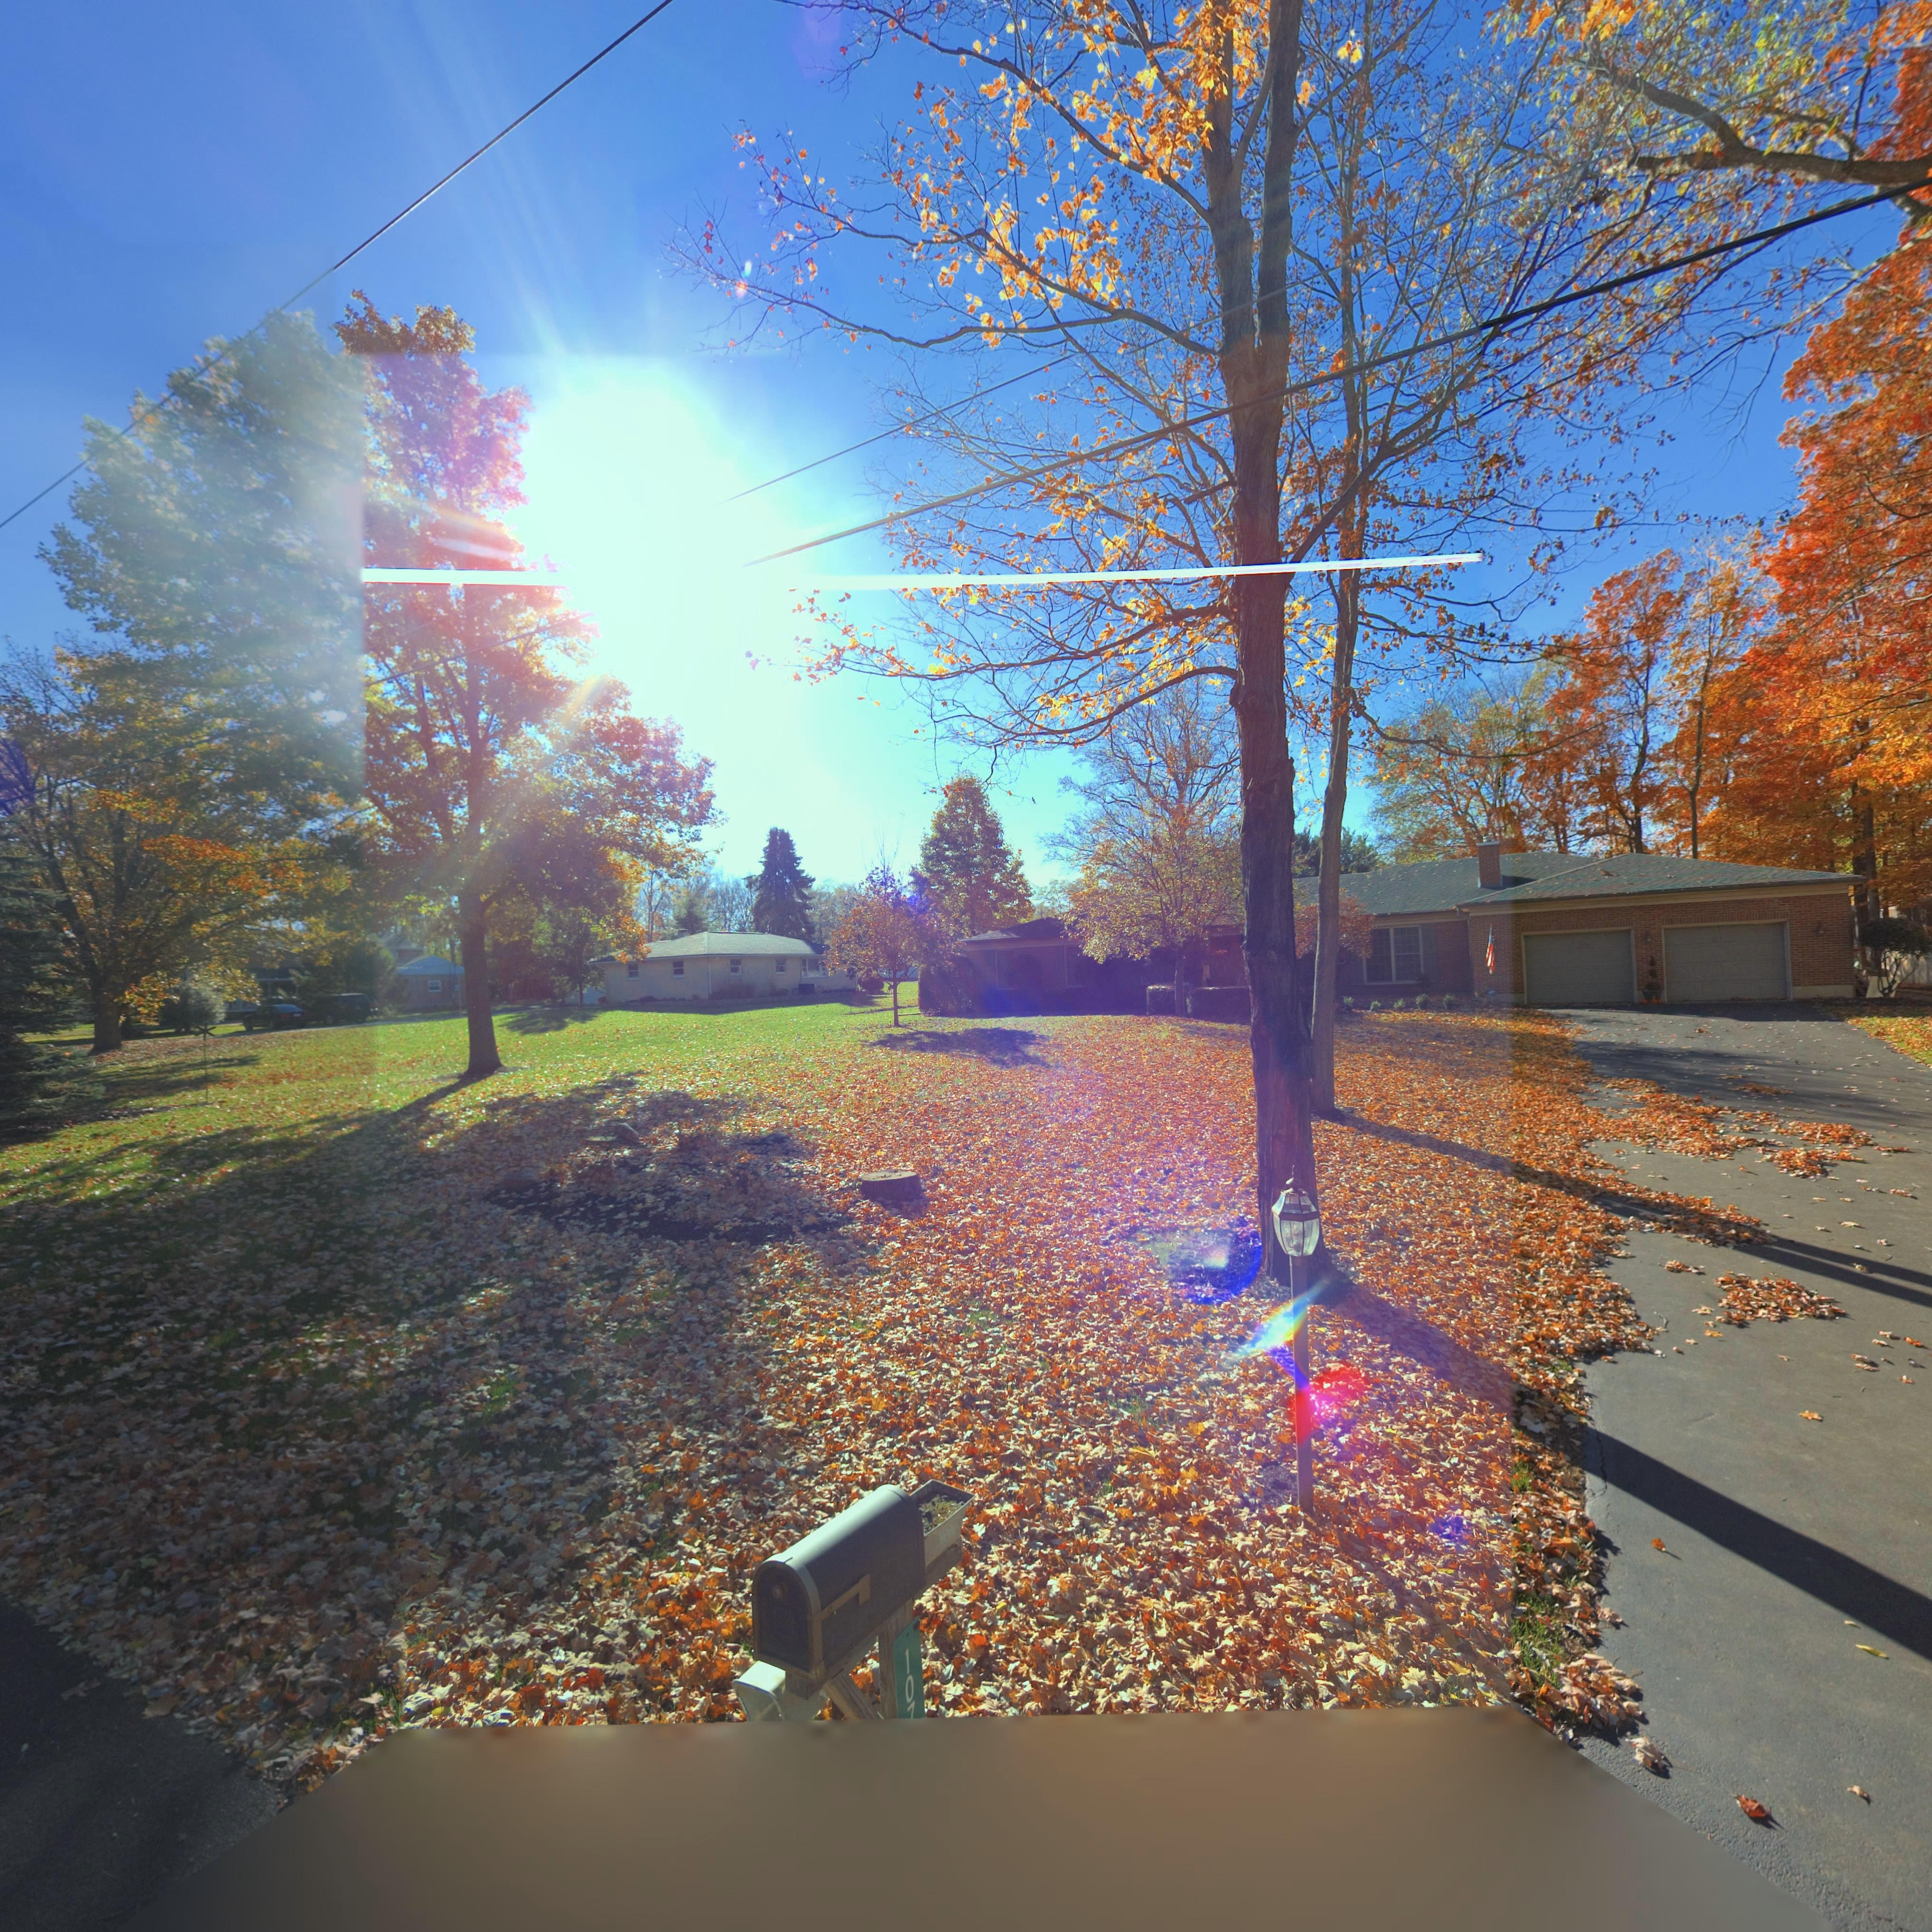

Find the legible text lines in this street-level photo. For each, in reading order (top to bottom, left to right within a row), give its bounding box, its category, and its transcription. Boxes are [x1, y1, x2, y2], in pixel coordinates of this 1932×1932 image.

[902, 1645, 917, 1719] StreetNumber: 107